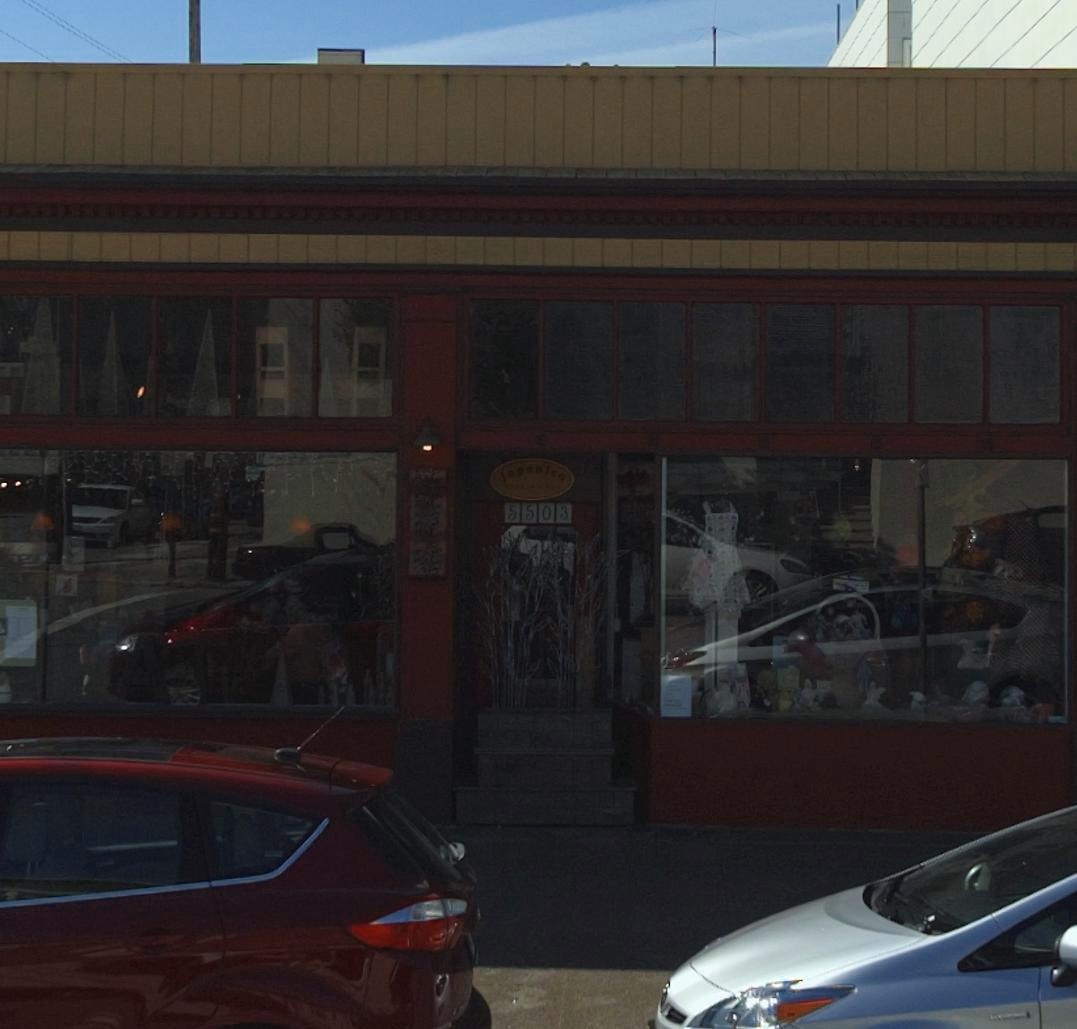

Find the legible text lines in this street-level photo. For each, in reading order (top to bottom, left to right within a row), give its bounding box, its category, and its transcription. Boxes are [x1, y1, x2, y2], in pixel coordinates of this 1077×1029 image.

[496, 462, 568, 483] BusinessName: Japonica
[507, 503, 569, 522] StreetNumber: 5503